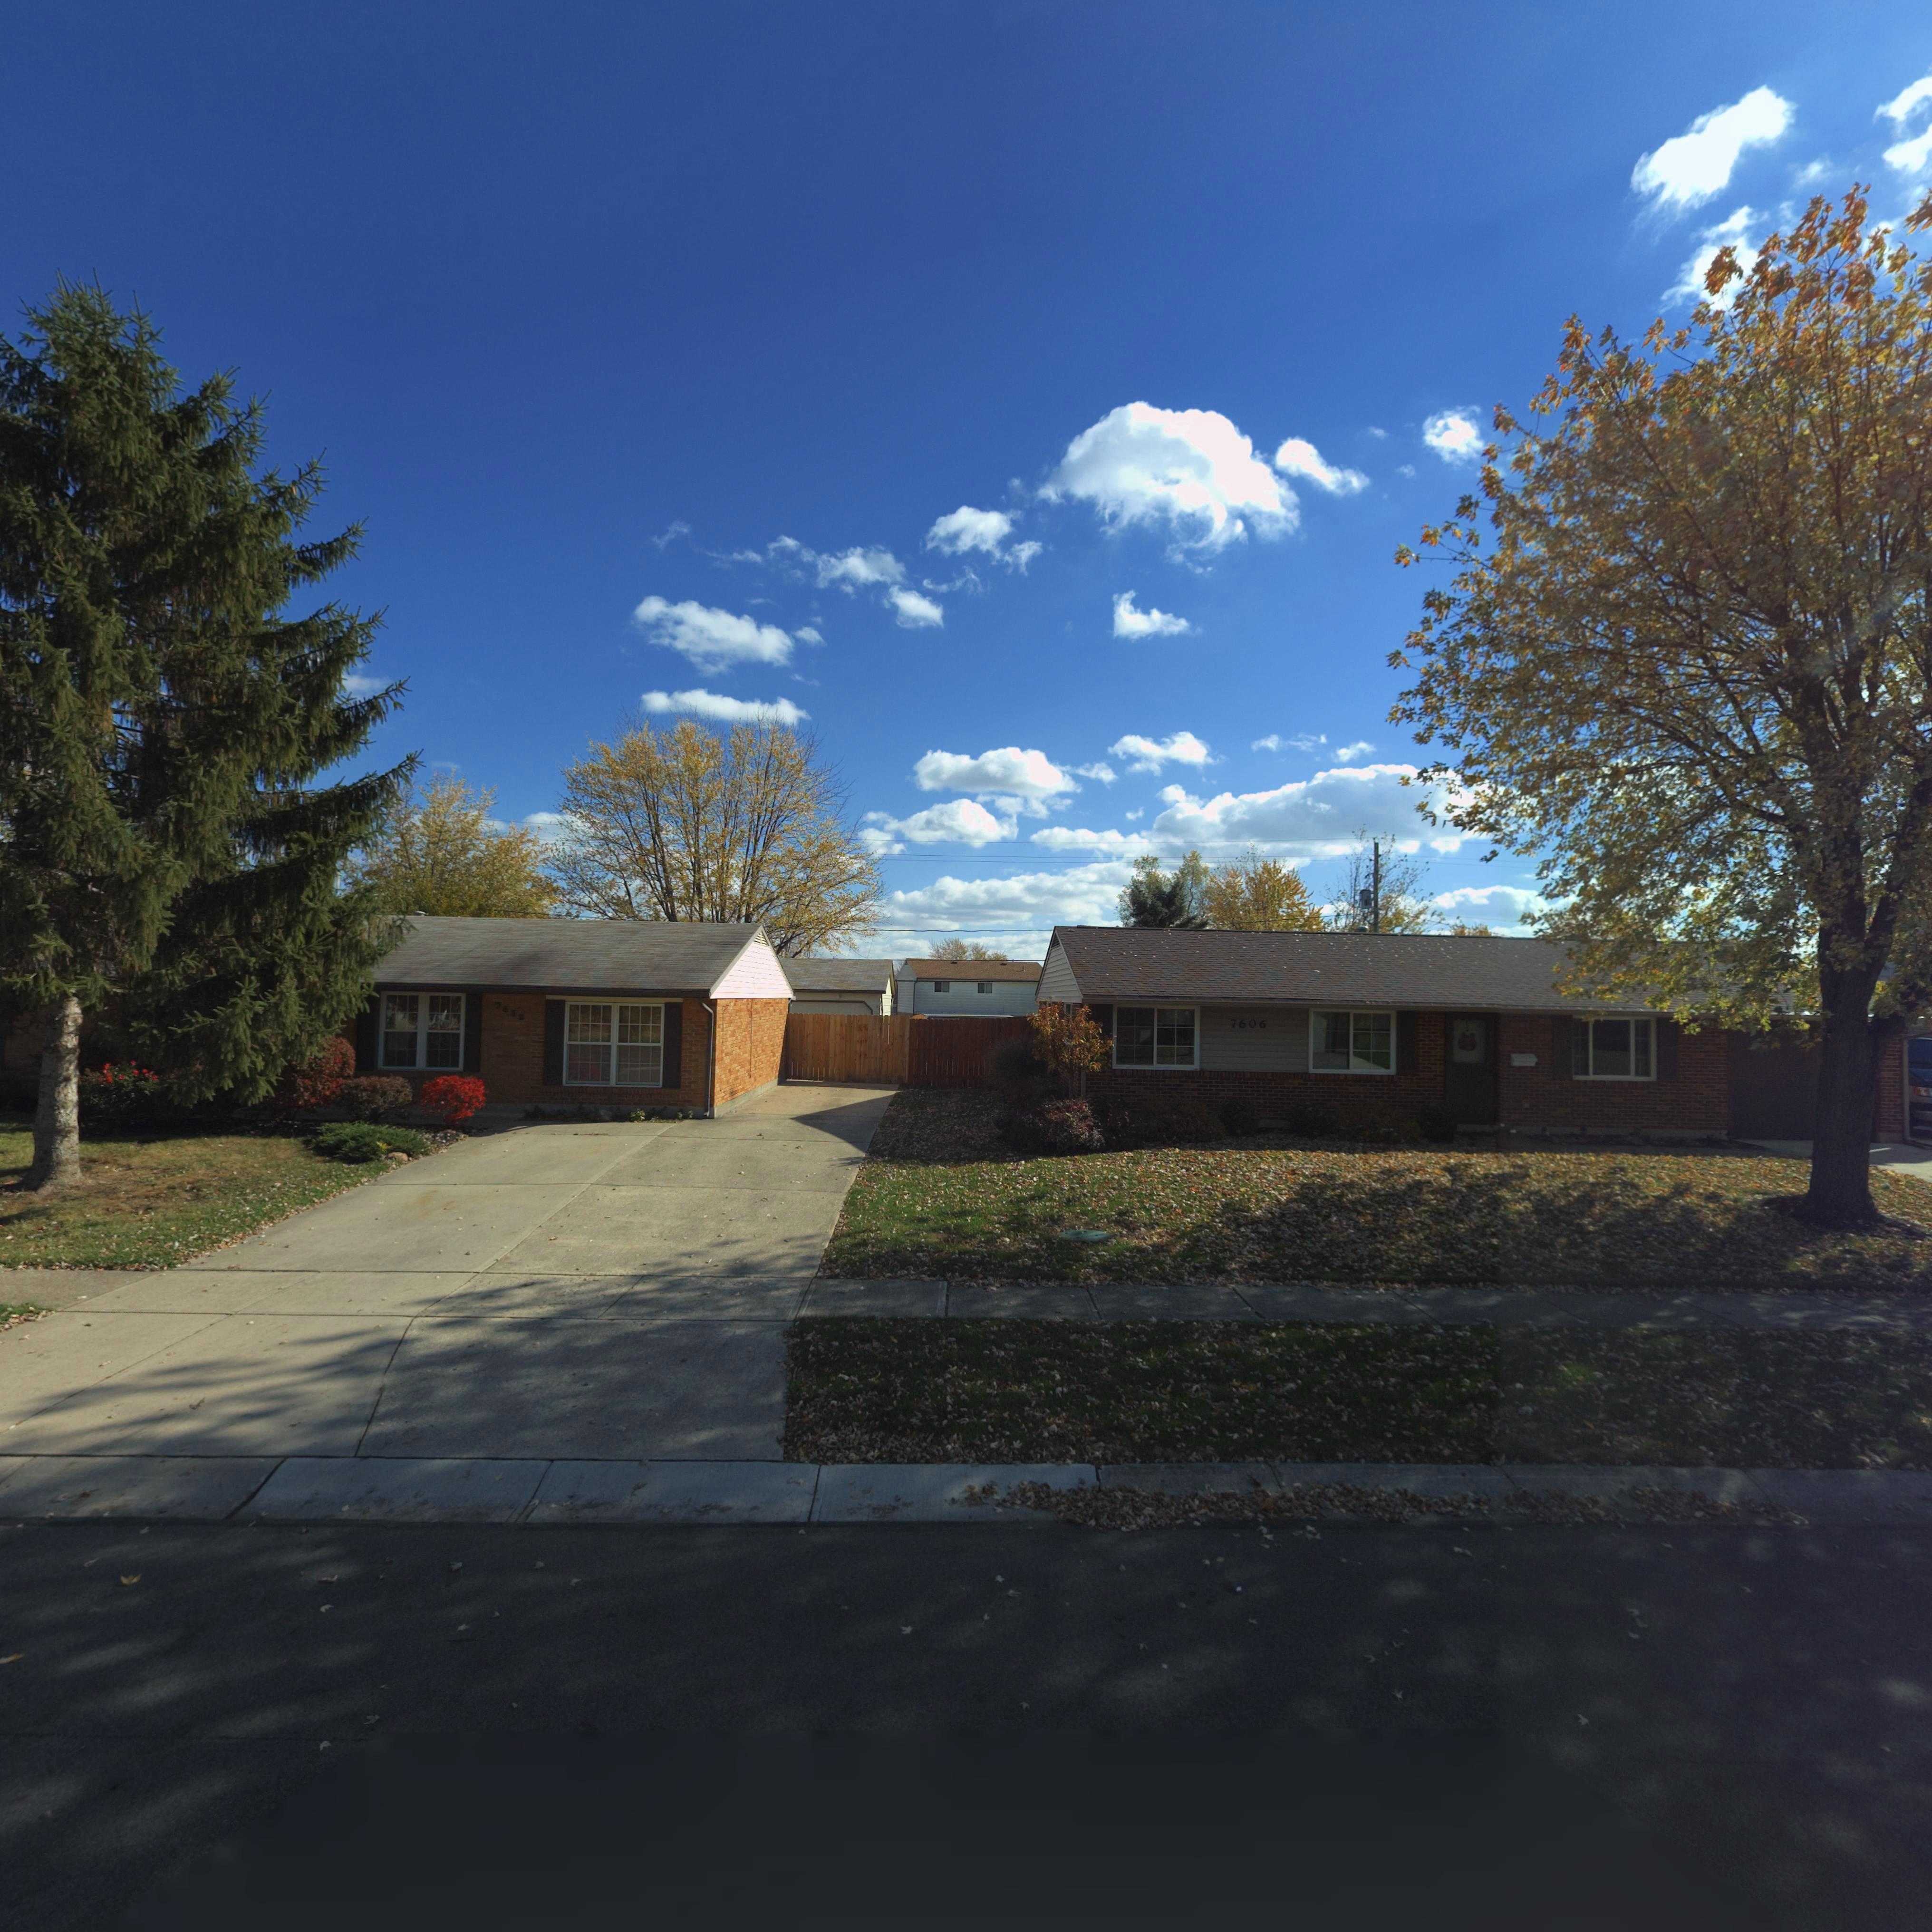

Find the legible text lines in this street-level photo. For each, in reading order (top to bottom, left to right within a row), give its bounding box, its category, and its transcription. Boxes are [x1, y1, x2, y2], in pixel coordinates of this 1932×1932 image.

[493, 1001, 525, 1023] StreetNumber: 7612
[1229, 1018, 1269, 1030] StreetNumber: 7606